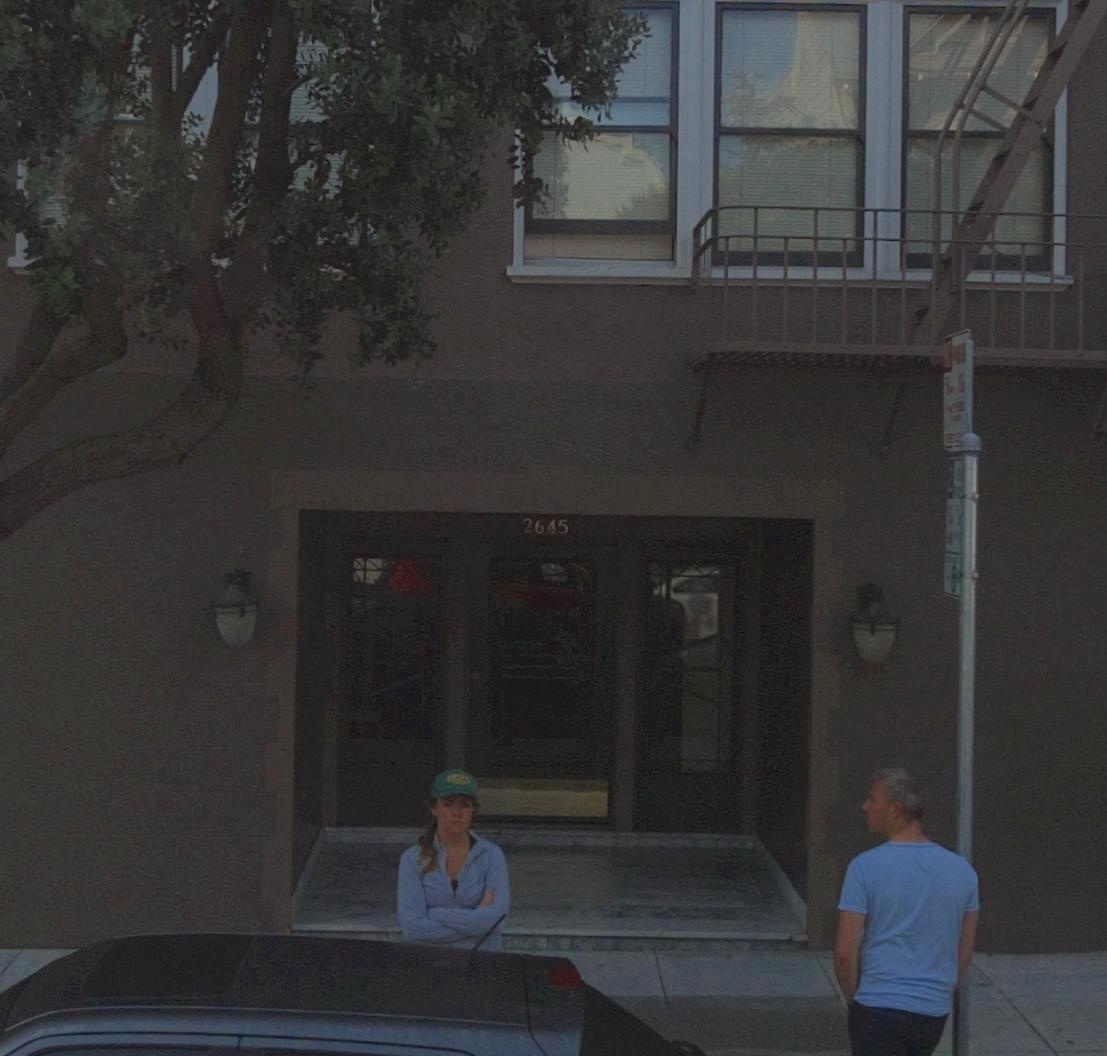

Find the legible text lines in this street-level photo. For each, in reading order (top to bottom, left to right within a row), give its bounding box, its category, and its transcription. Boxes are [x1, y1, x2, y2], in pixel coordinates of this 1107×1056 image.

[520, 515, 570, 537] StreetNumber: 2645